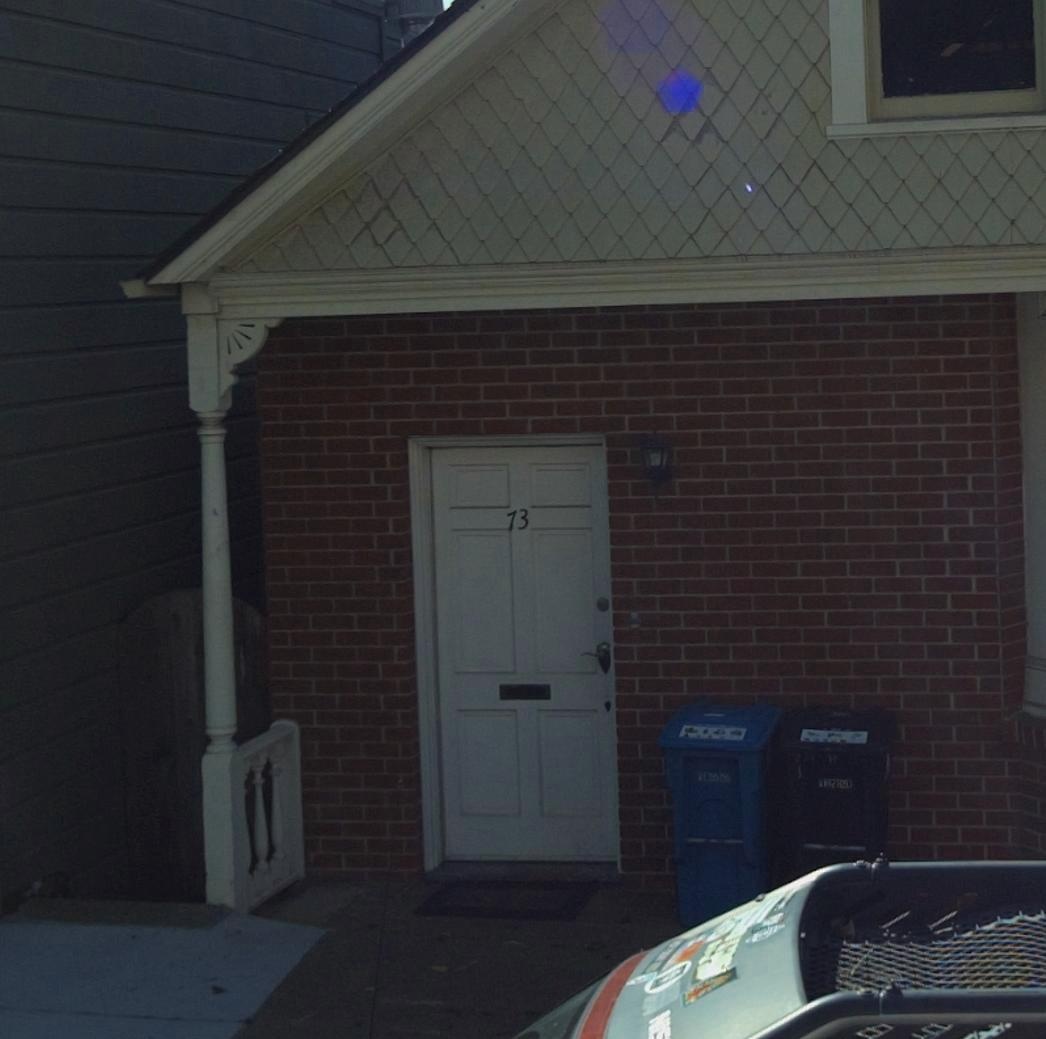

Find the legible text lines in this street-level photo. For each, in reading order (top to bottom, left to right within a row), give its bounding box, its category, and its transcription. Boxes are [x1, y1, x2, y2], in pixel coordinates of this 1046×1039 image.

[506, 508, 531, 532] StreetNumber: 73
[694, 771, 734, 783] None: W**195**
[816, 777, 853, 789] None: ***21090